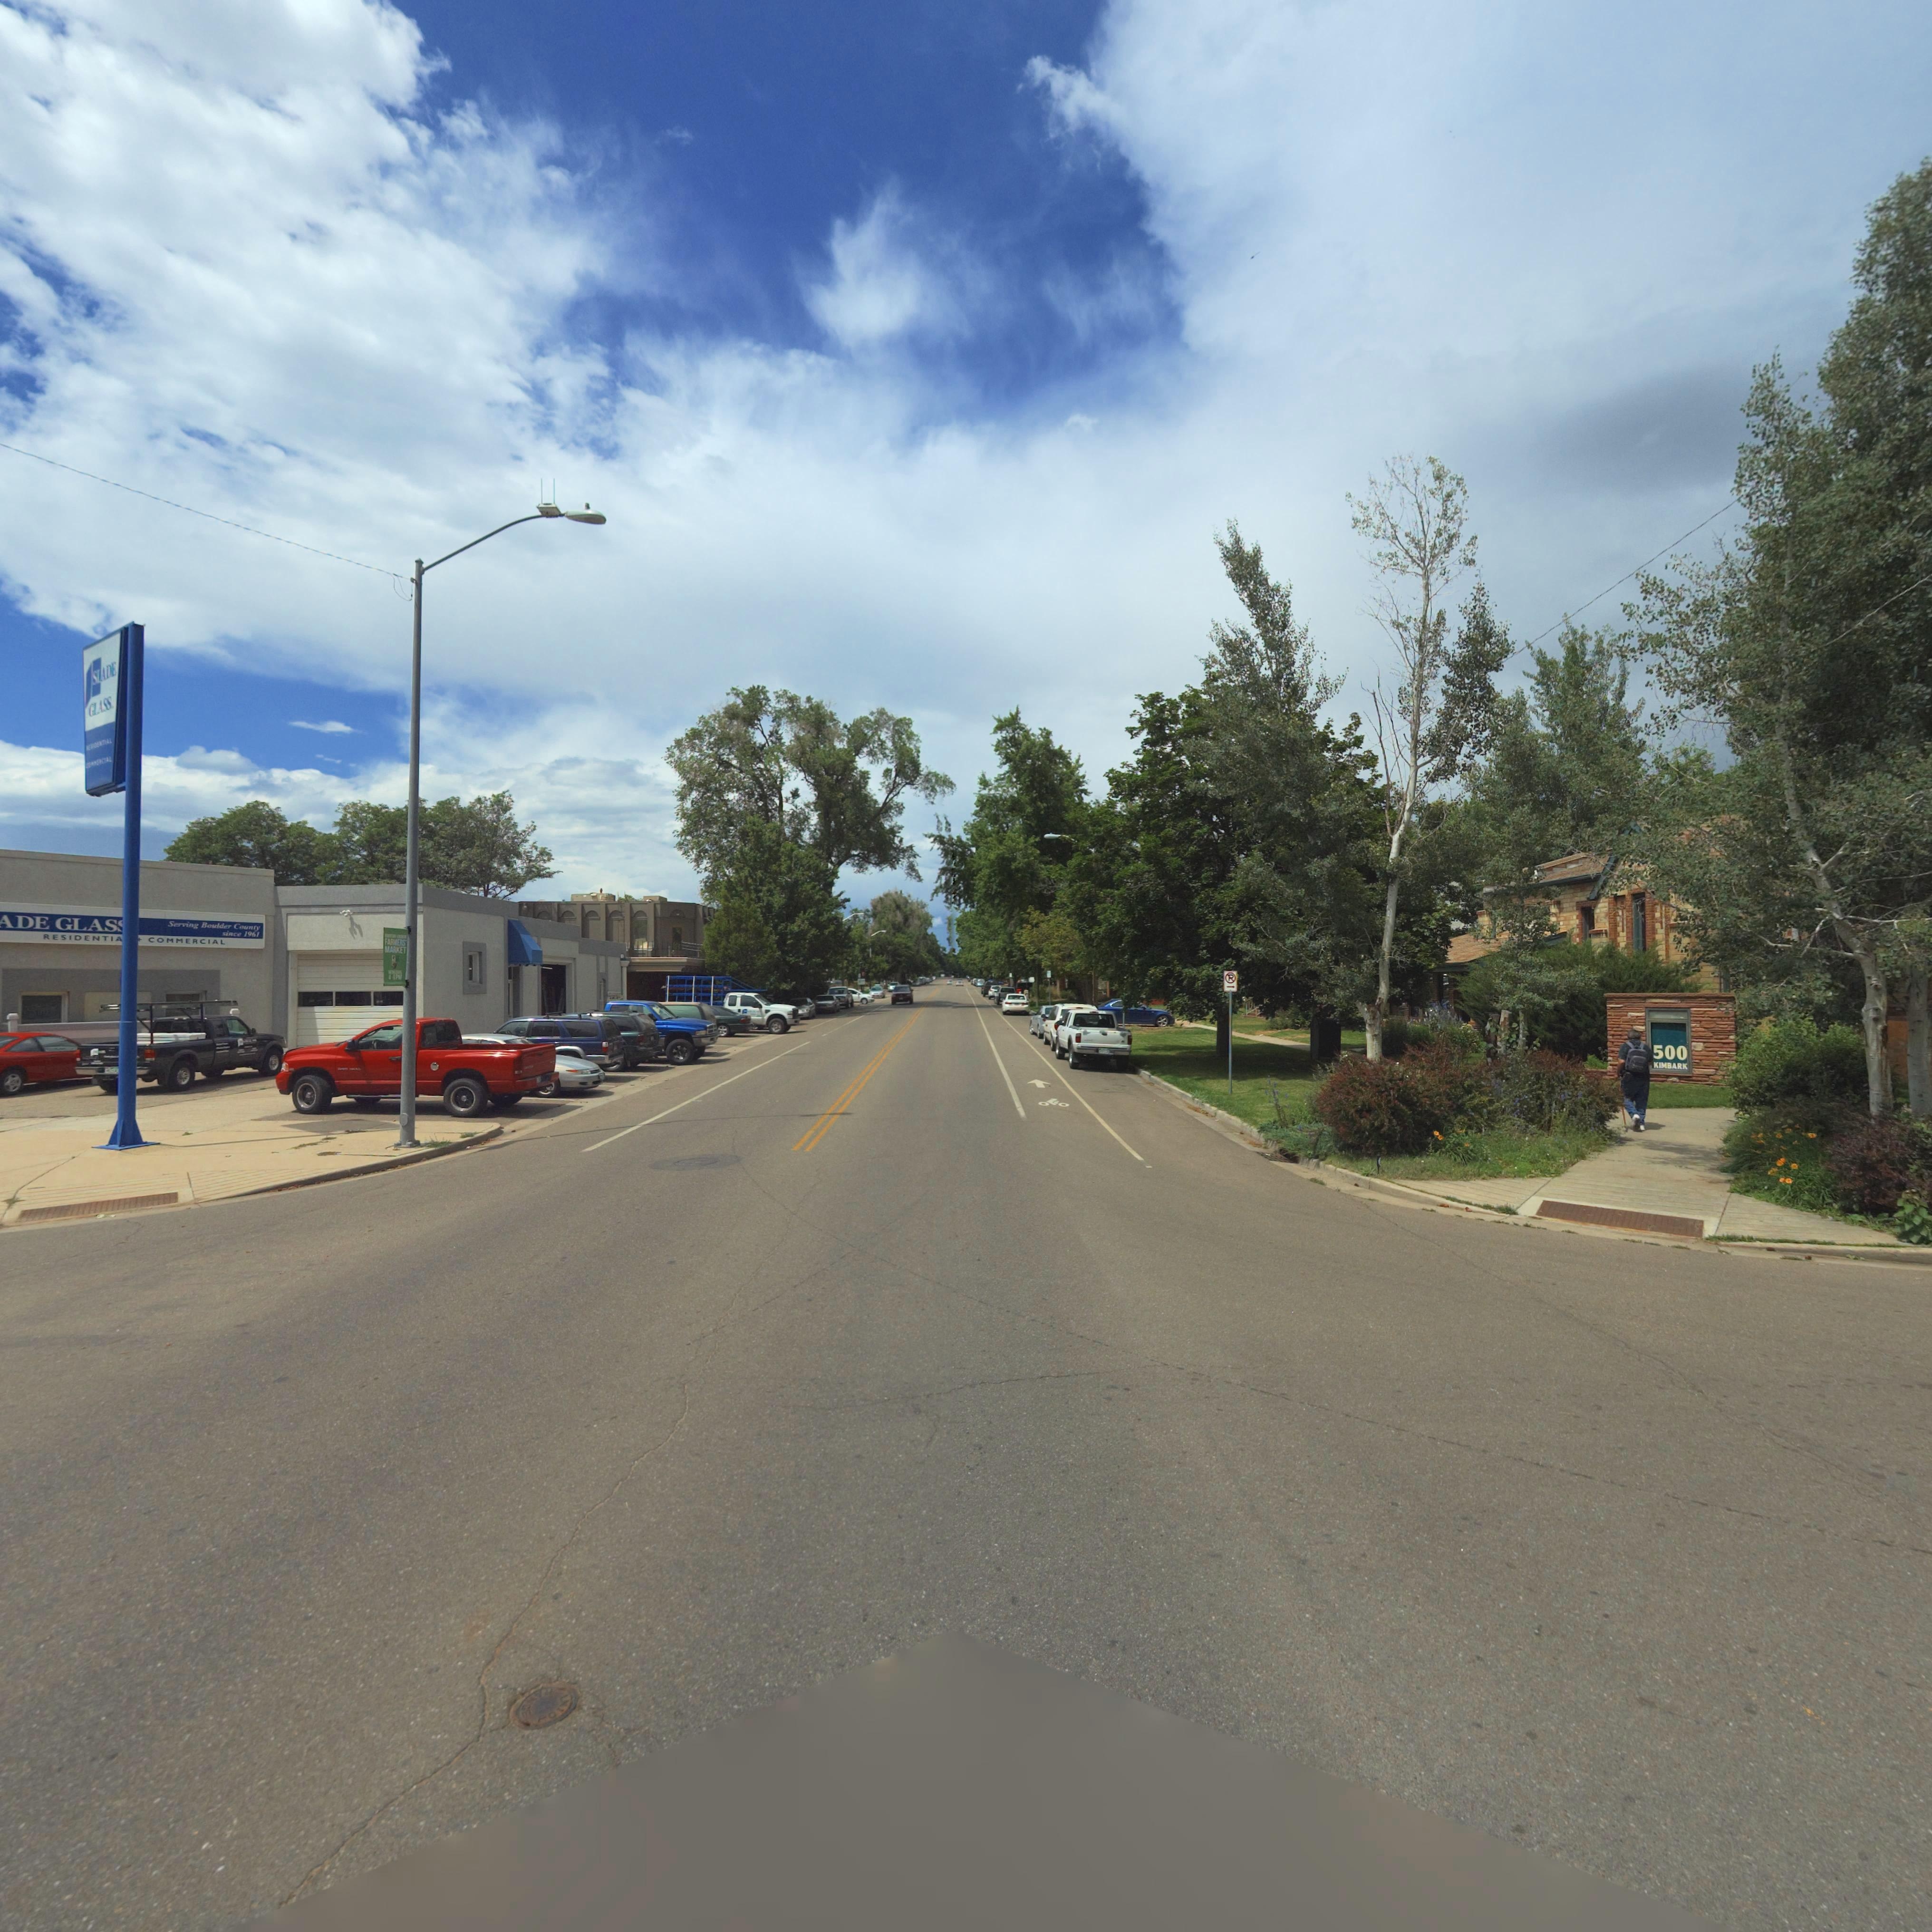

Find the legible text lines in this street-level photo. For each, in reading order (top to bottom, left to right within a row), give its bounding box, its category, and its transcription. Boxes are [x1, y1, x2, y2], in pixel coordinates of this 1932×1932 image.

[14, 914, 117, 932] BusinessName: DE GLAS
[1652, 1044, 1688, 1061] StreetNumber: 500
[1653, 1061, 1688, 1070] StreetName: KIMBARK